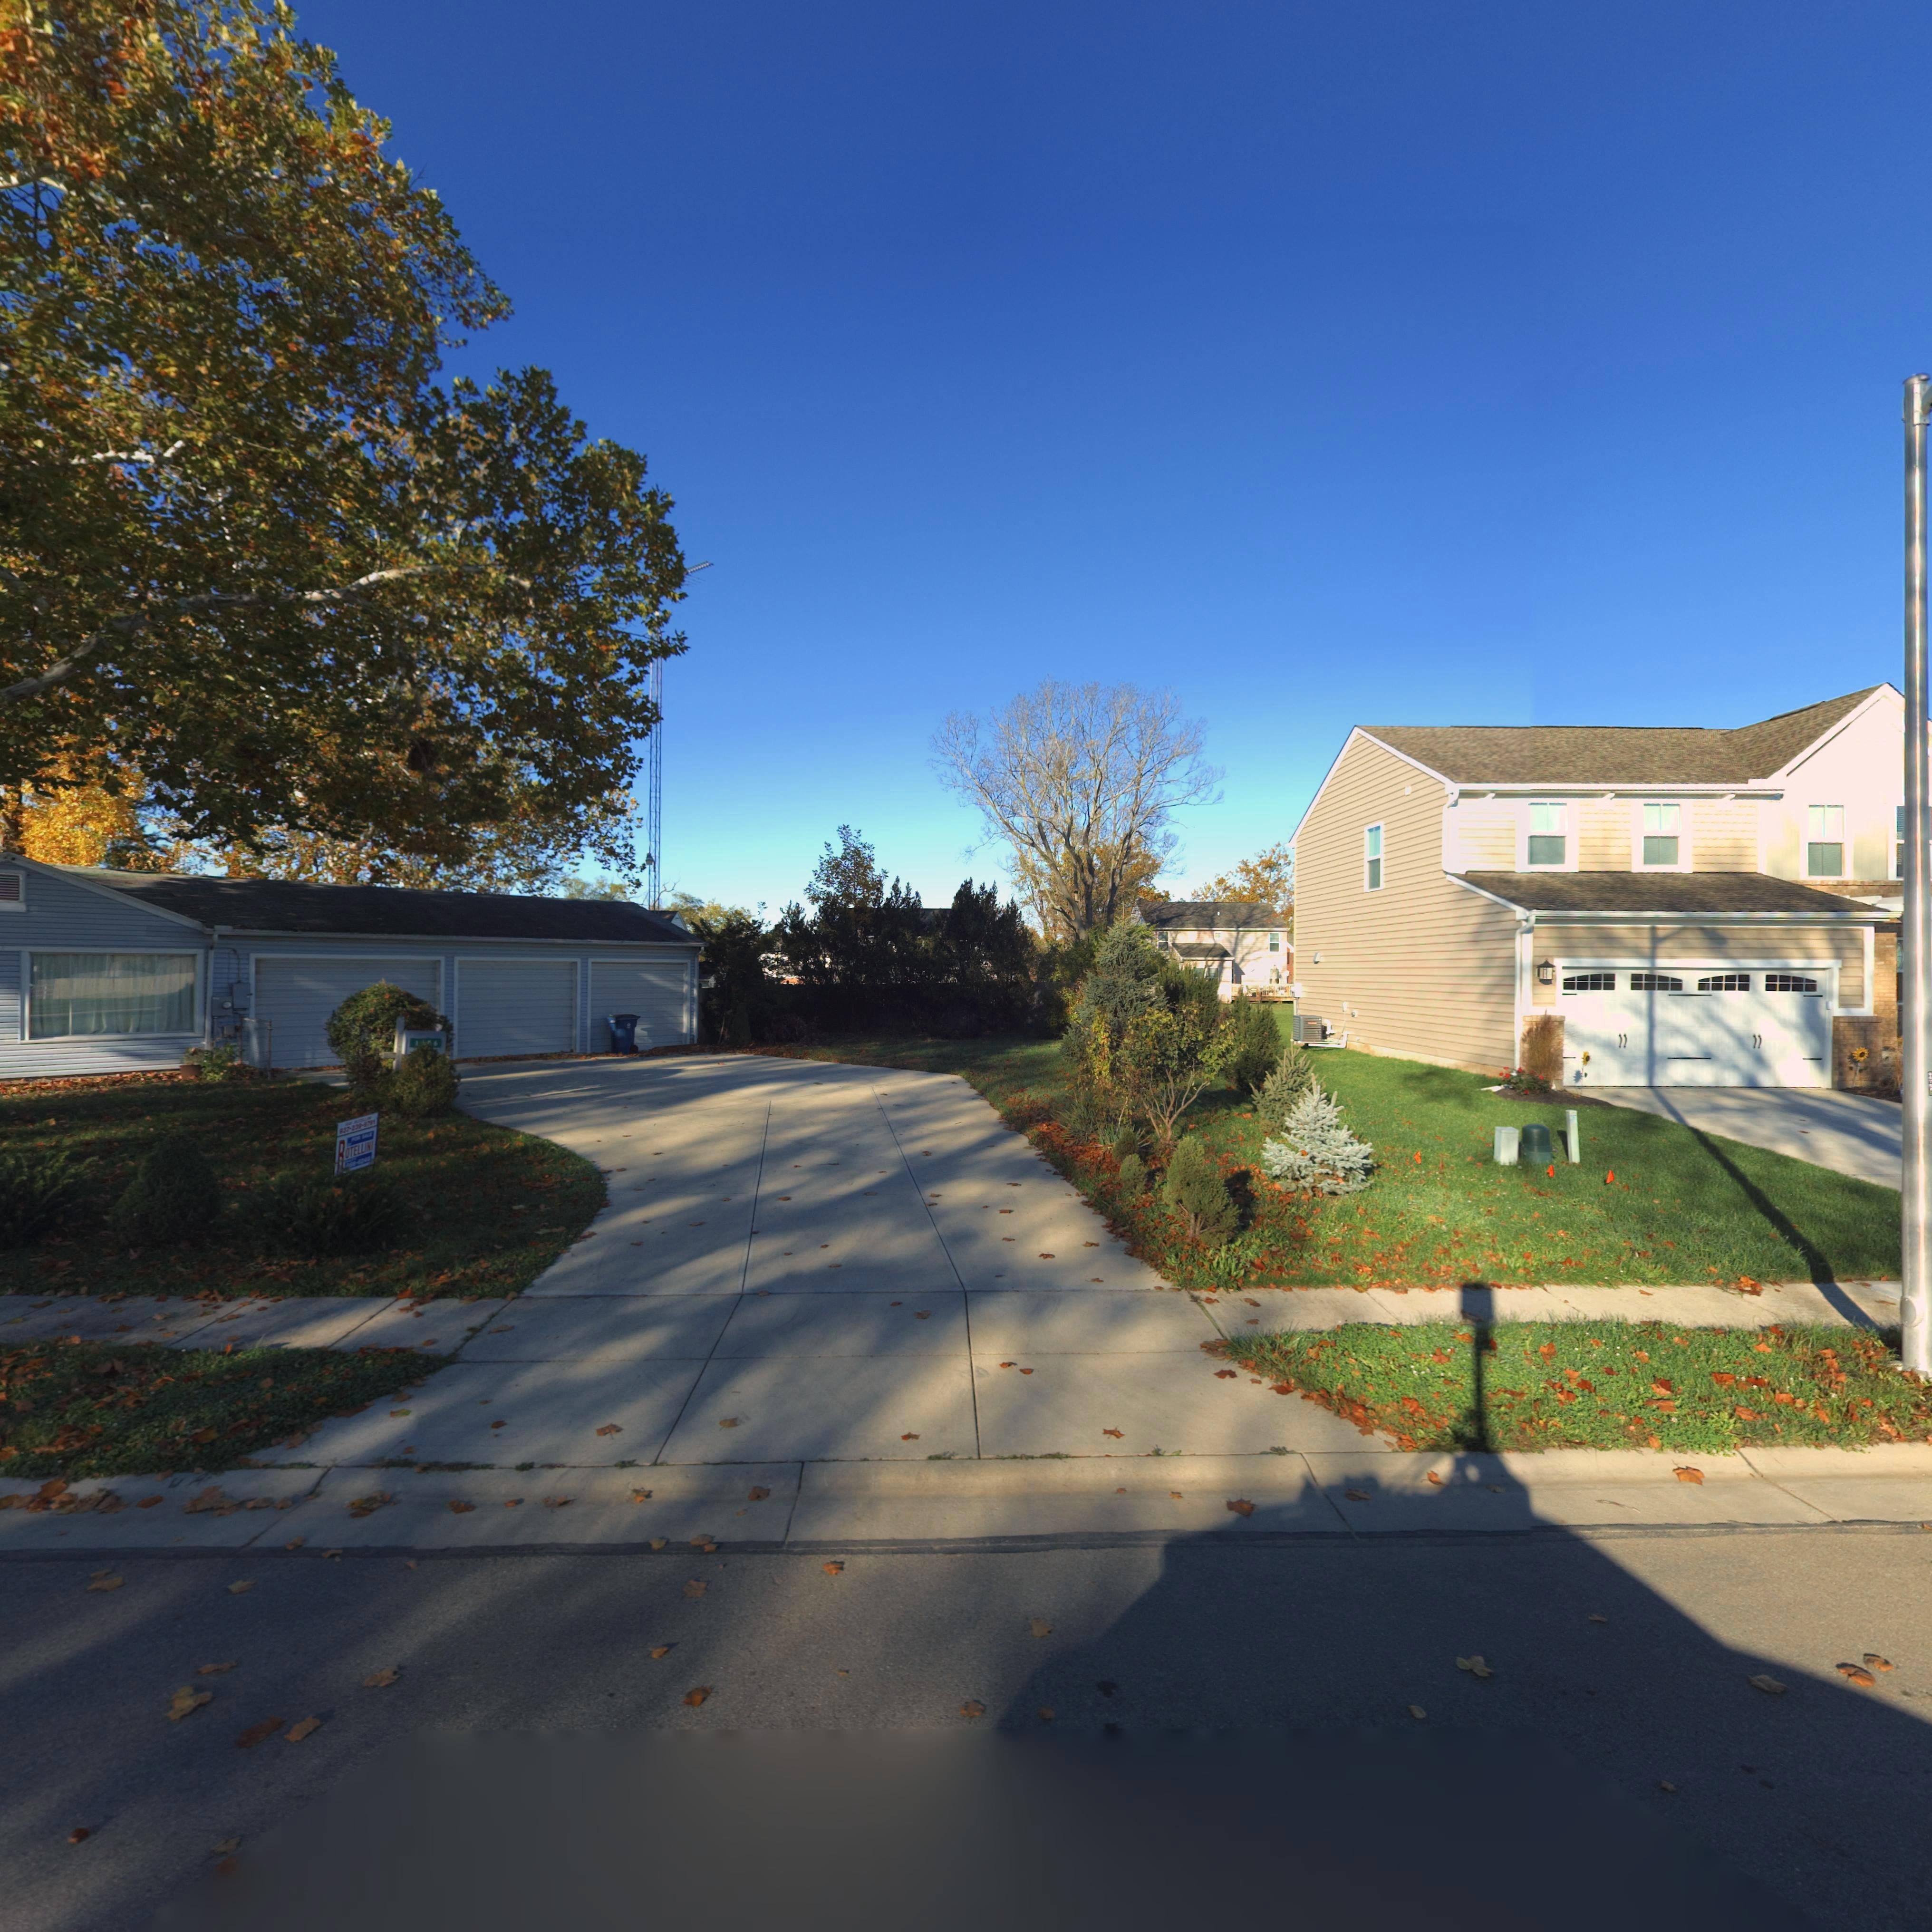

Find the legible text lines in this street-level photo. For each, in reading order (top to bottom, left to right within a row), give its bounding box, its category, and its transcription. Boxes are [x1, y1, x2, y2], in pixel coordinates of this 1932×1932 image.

[415, 1040, 438, 1046] StreetNumber: 1**6